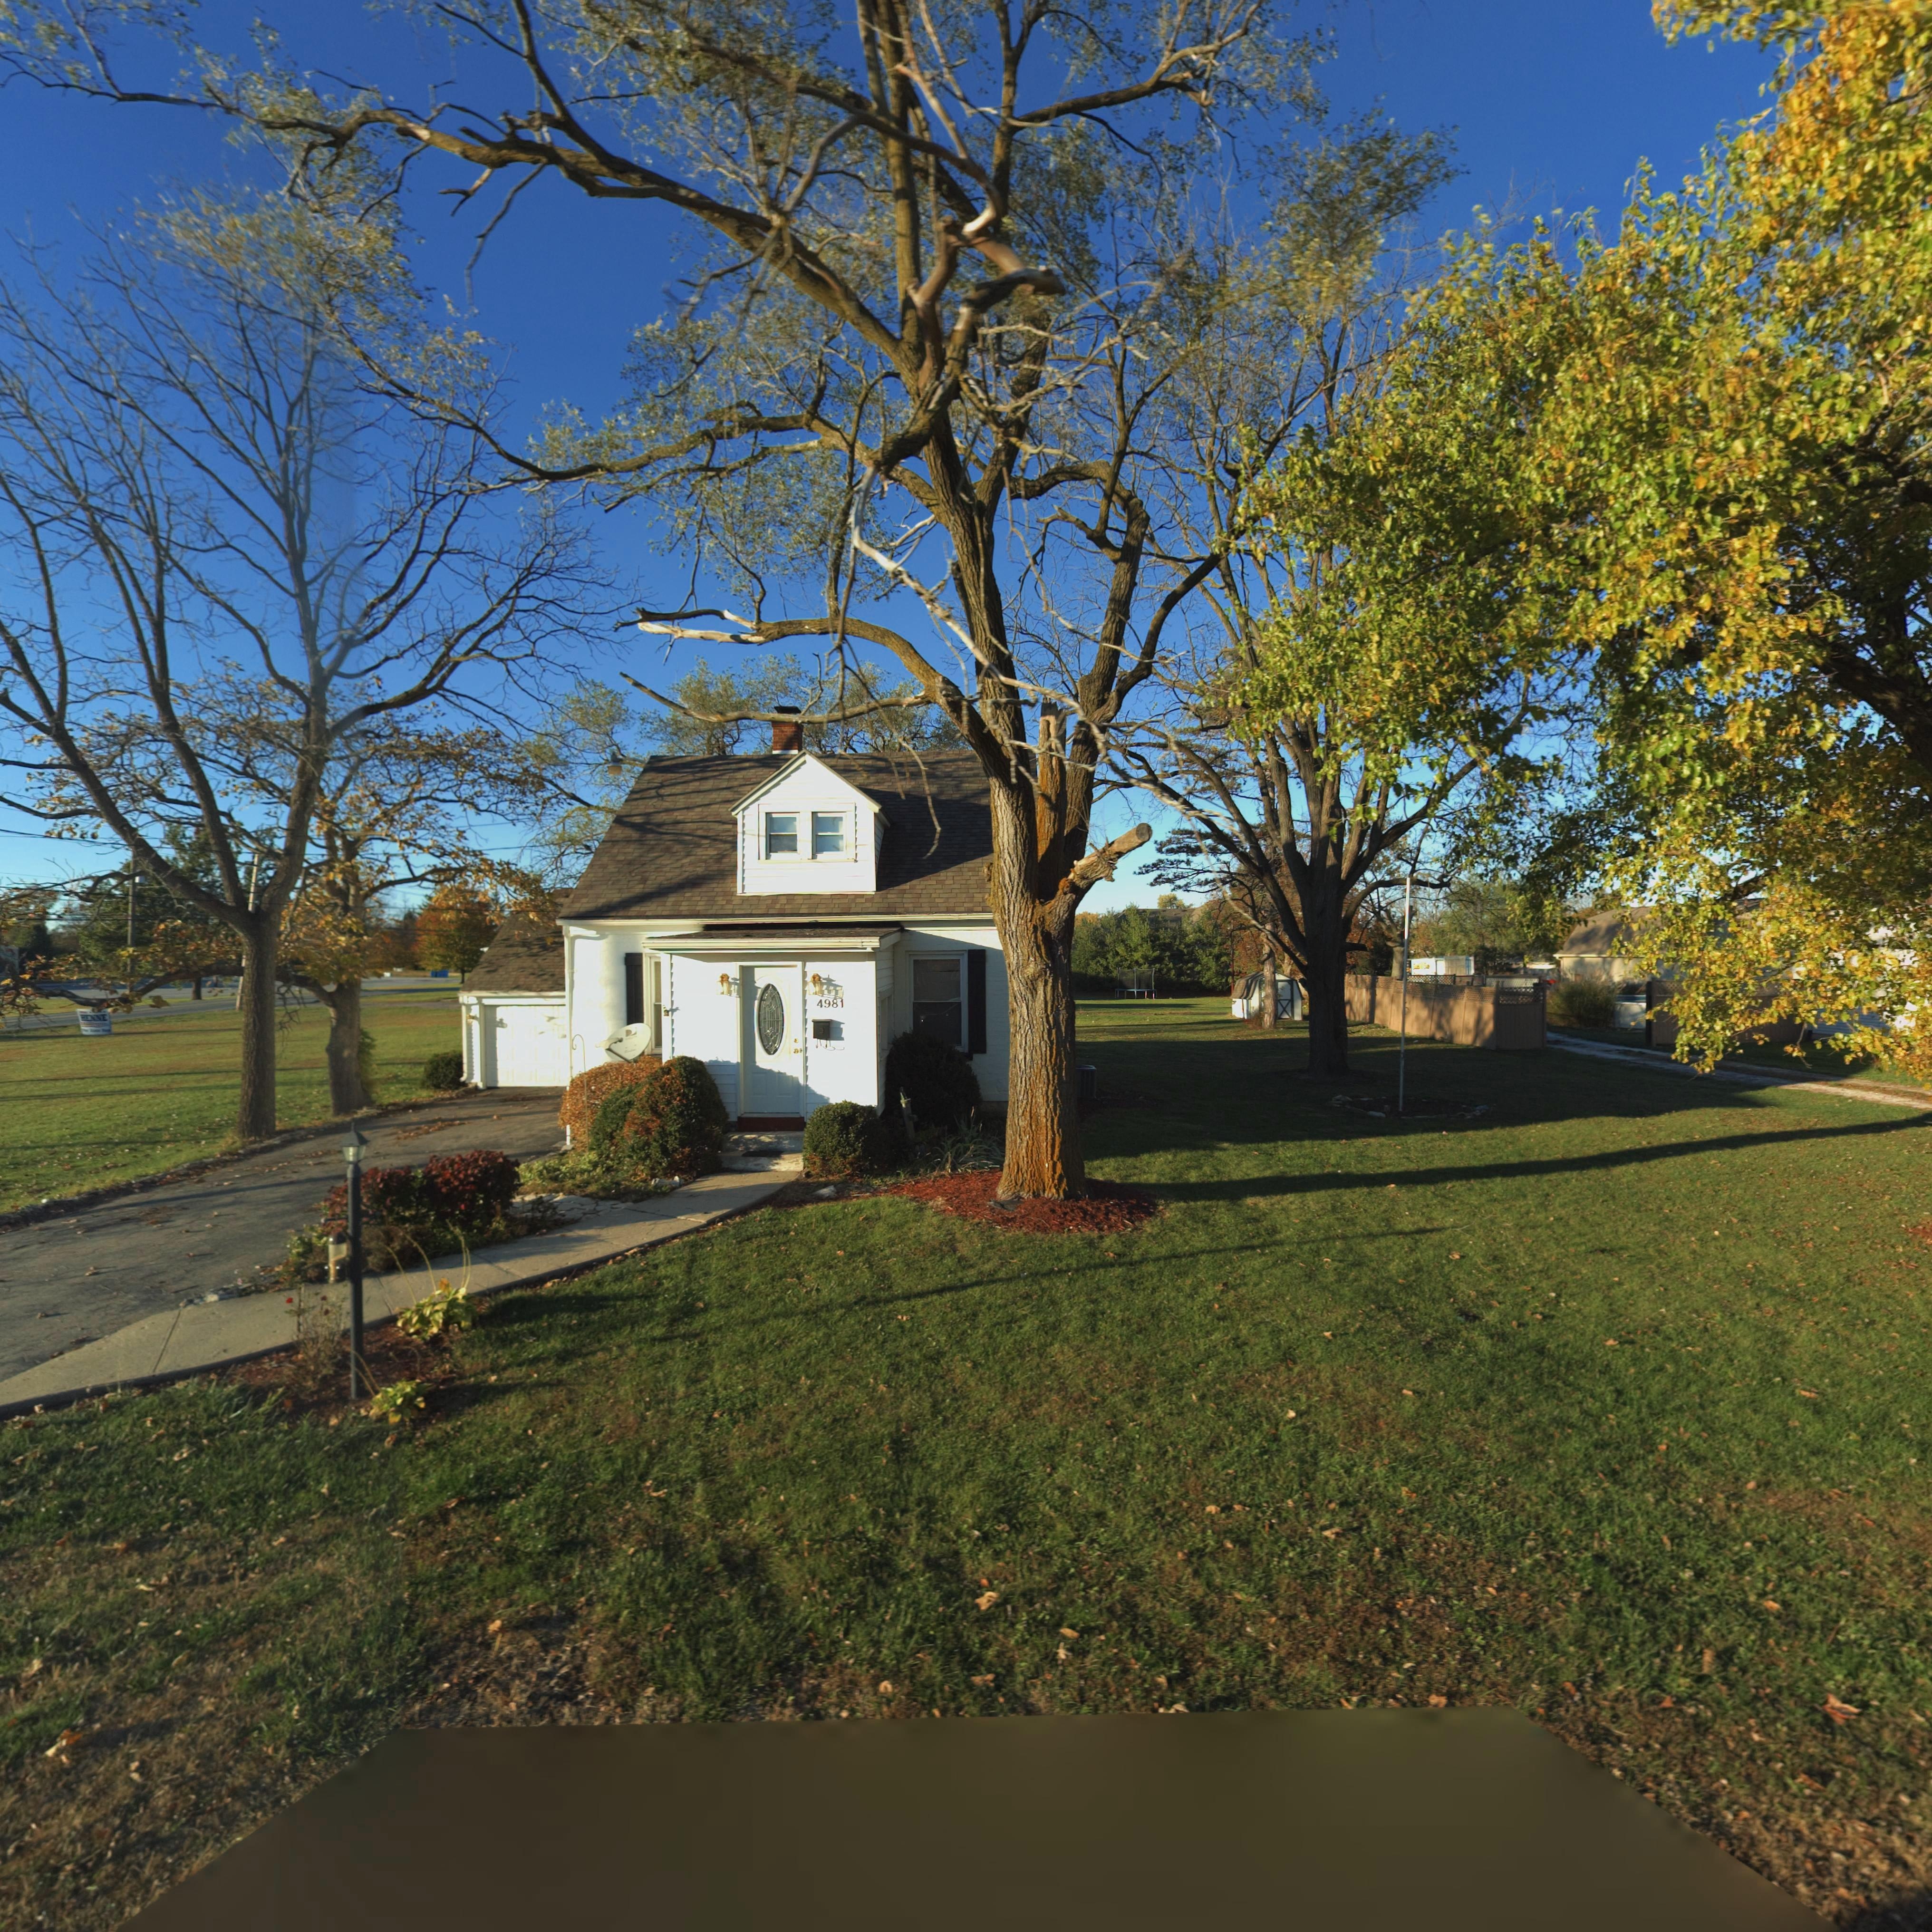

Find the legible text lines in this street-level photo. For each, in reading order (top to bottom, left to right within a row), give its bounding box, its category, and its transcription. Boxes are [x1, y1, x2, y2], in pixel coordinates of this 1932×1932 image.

[816, 998, 844, 1008] StreetNumber: 4981